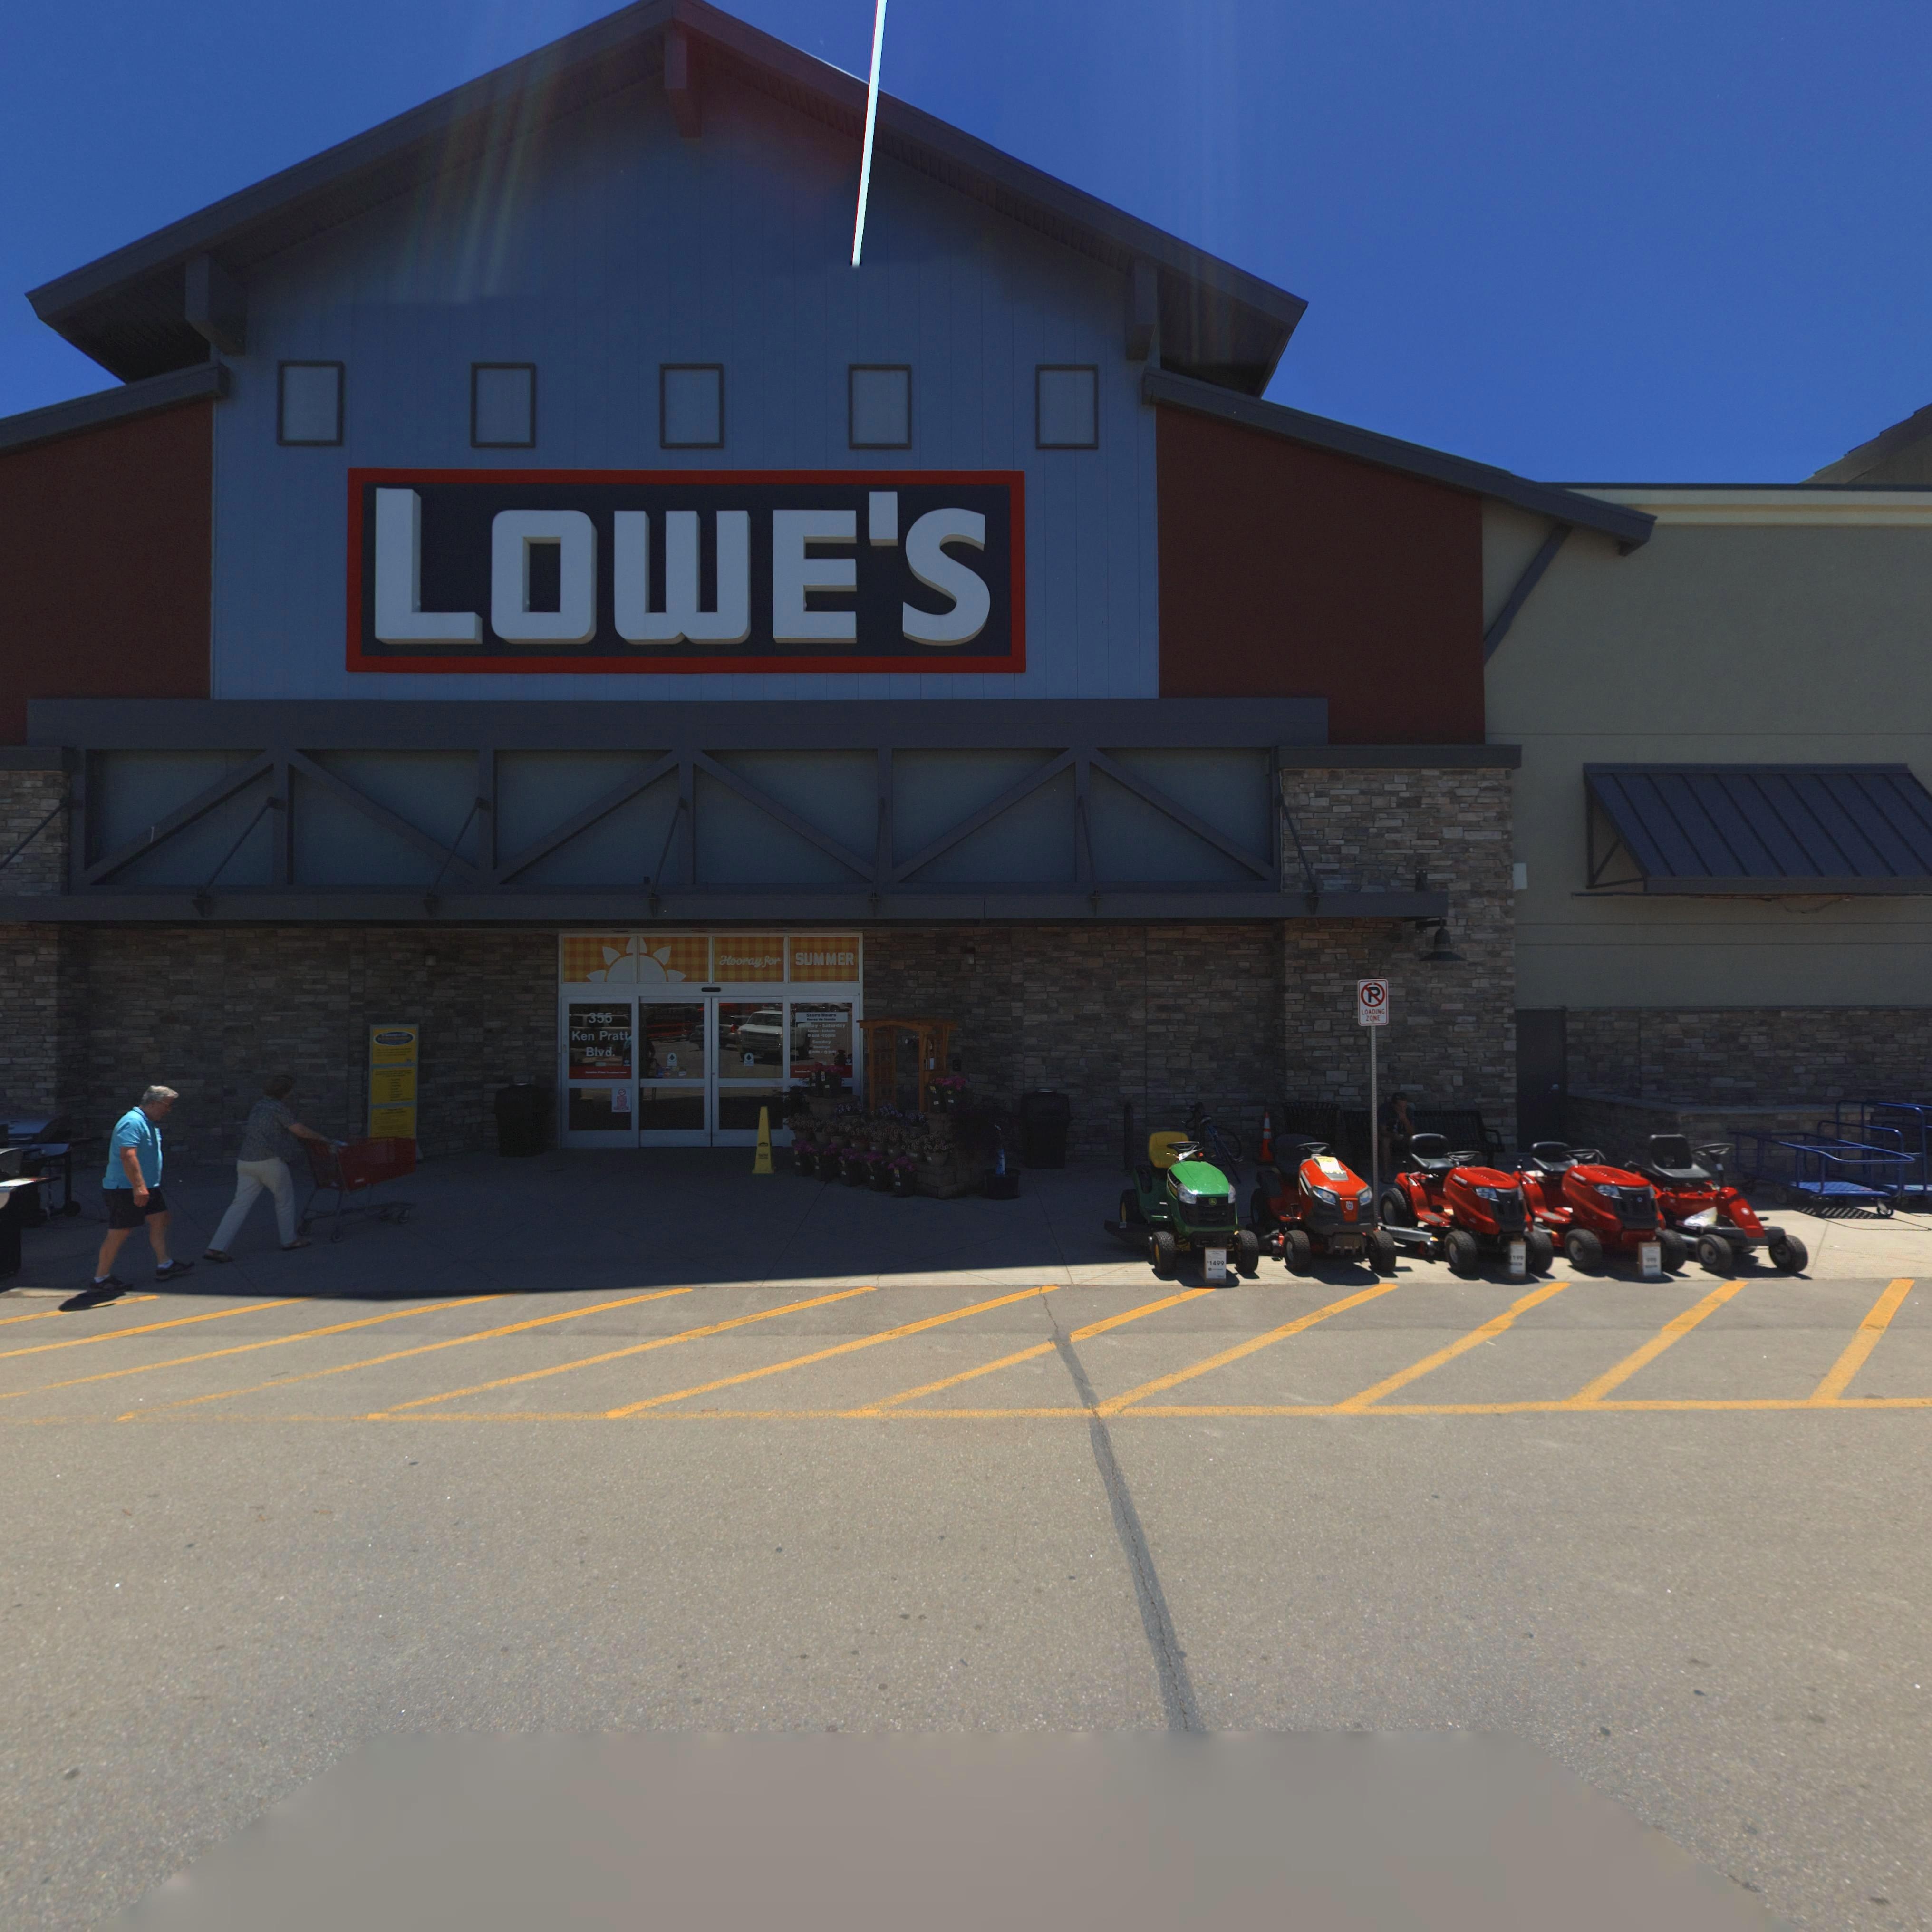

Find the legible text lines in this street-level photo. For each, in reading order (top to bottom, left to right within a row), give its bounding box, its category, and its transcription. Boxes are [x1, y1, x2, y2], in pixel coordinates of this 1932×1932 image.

[368, 485, 993, 644] BusinessName: LOWE'S
[587, 1012, 614, 1023] StreetNumber: 355
[572, 1030, 629, 1041] StreetName: Ken Pratt
[586, 1046, 616, 1057] StreetName: Blvd.